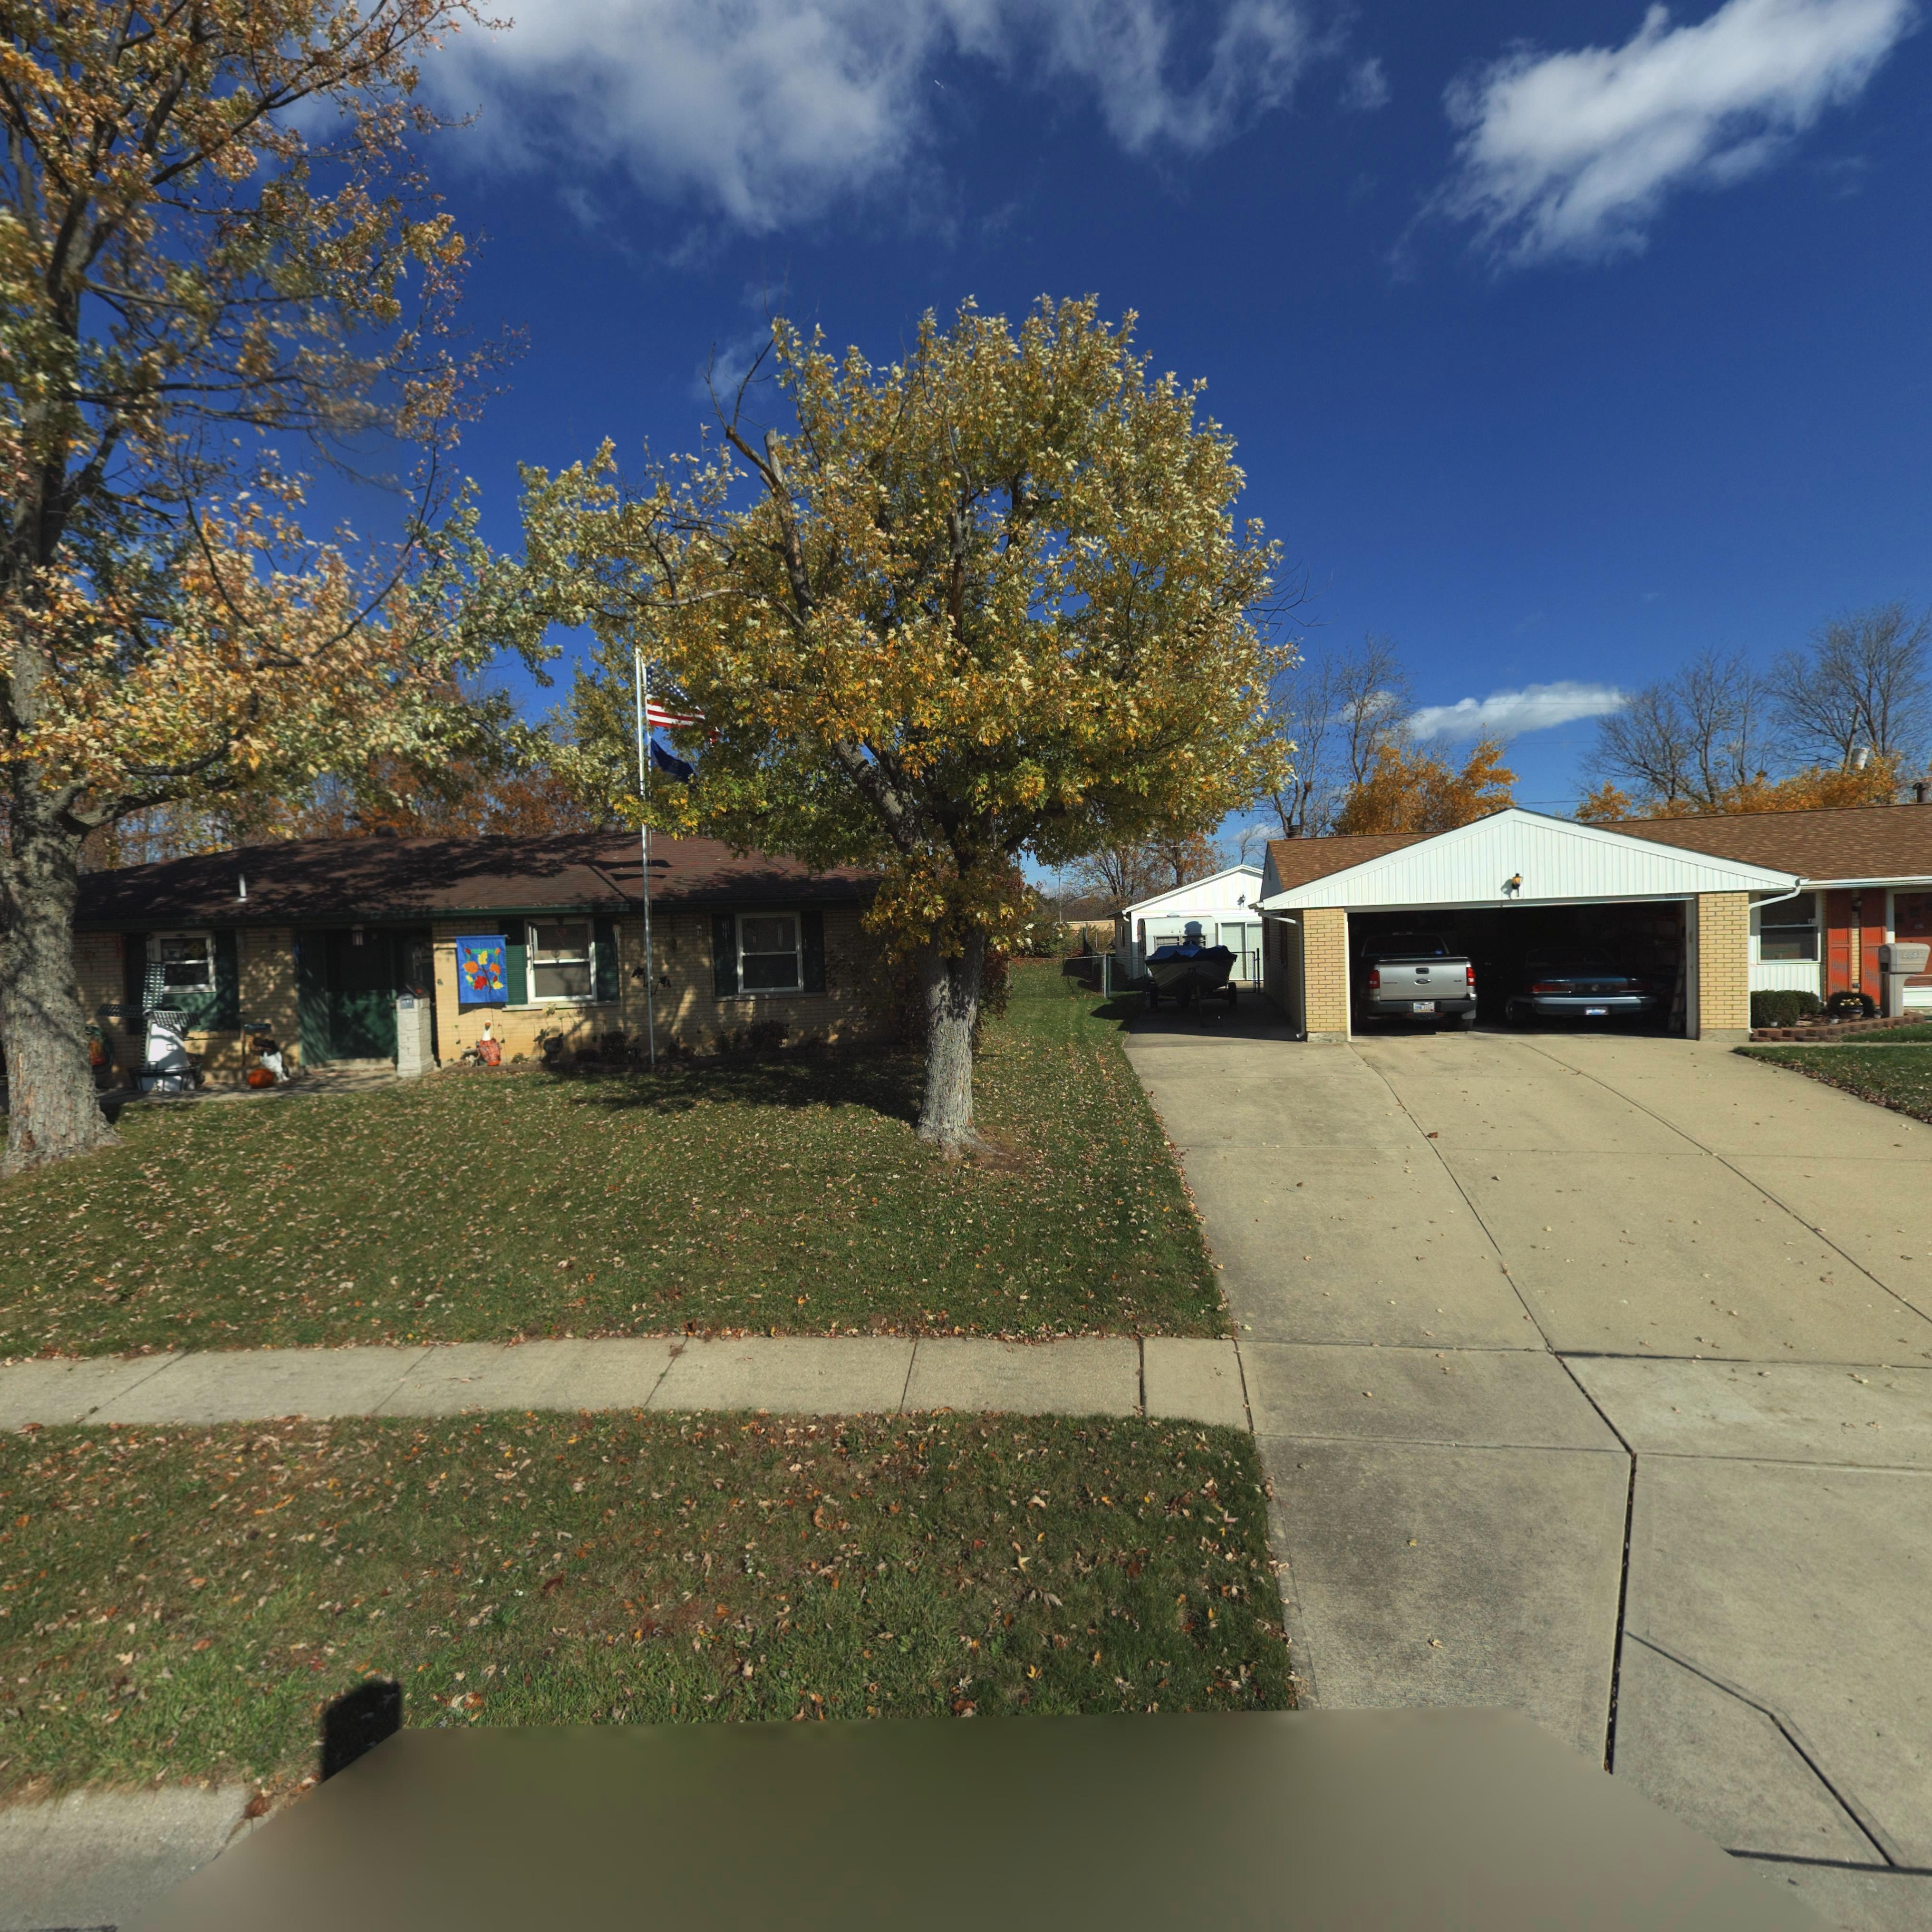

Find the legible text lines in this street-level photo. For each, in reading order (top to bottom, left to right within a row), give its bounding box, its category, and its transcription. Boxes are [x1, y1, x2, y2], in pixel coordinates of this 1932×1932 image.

[1664, 893, 1682, 899] StreetNumber: 66*5
[1902, 950, 1922, 959] StreetNumber: 668*